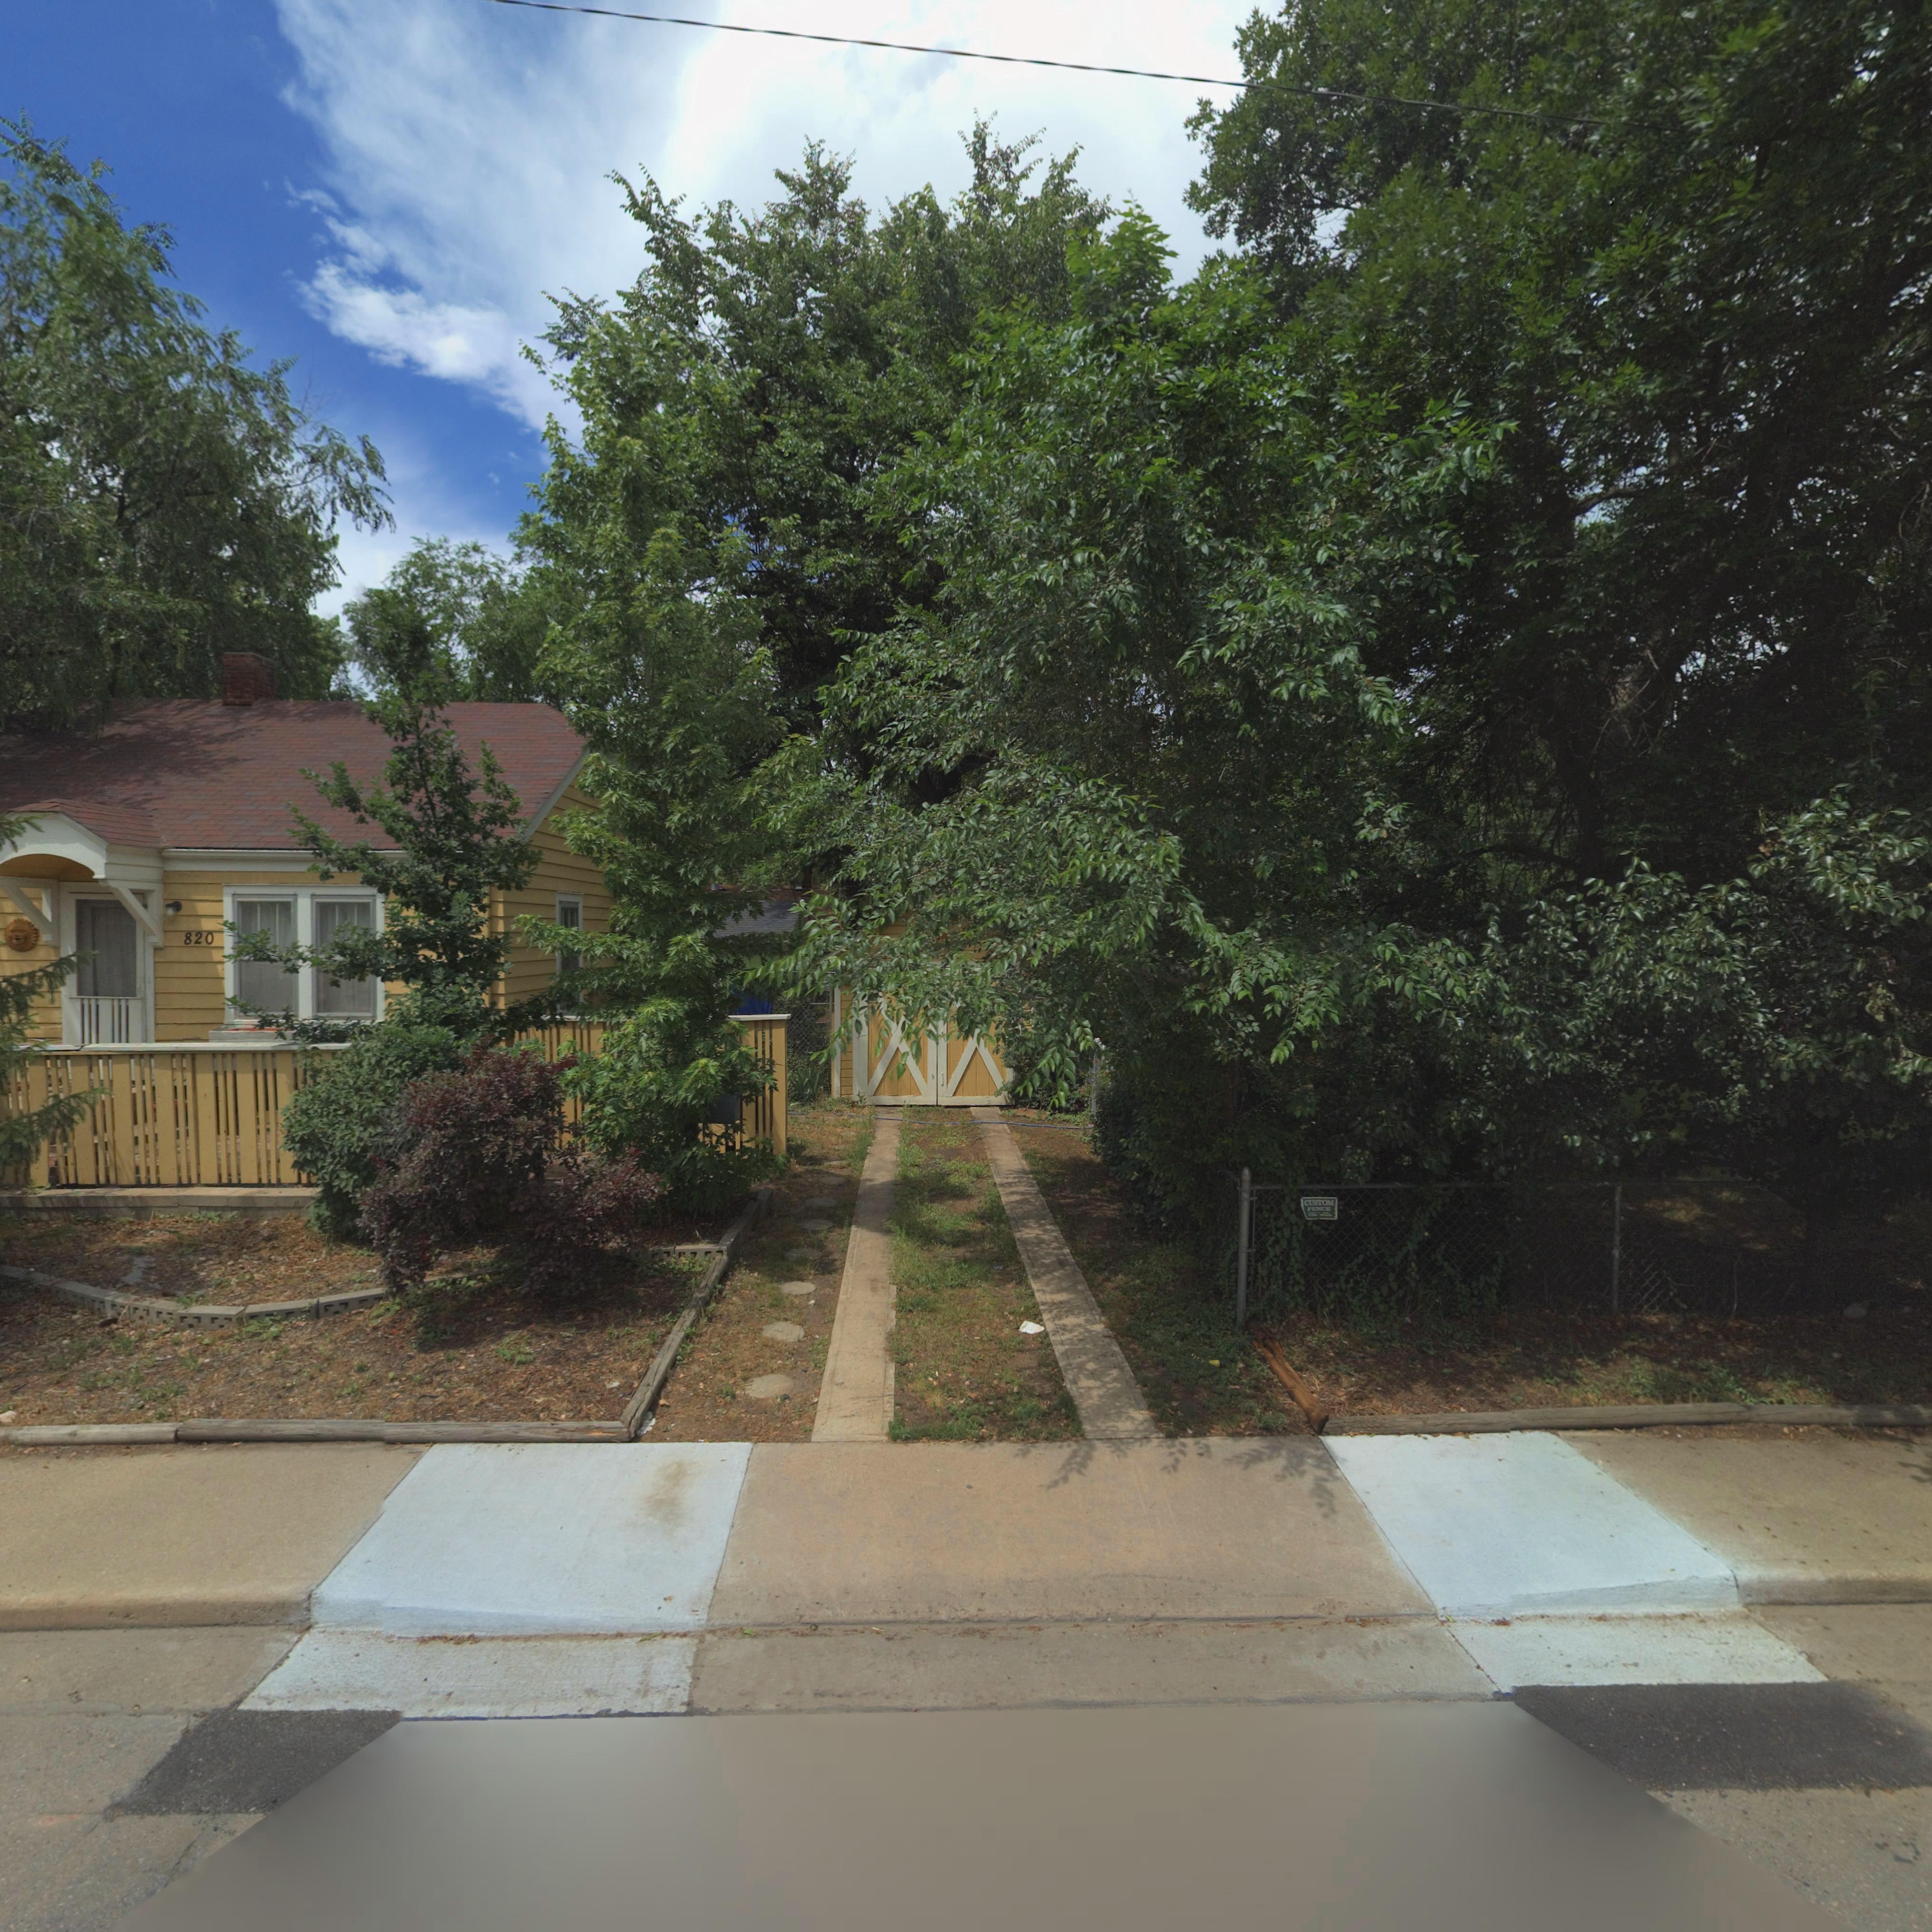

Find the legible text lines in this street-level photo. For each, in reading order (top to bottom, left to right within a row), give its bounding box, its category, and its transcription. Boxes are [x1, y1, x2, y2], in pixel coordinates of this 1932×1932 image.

[183, 931, 214, 945] StreetNumber: 820